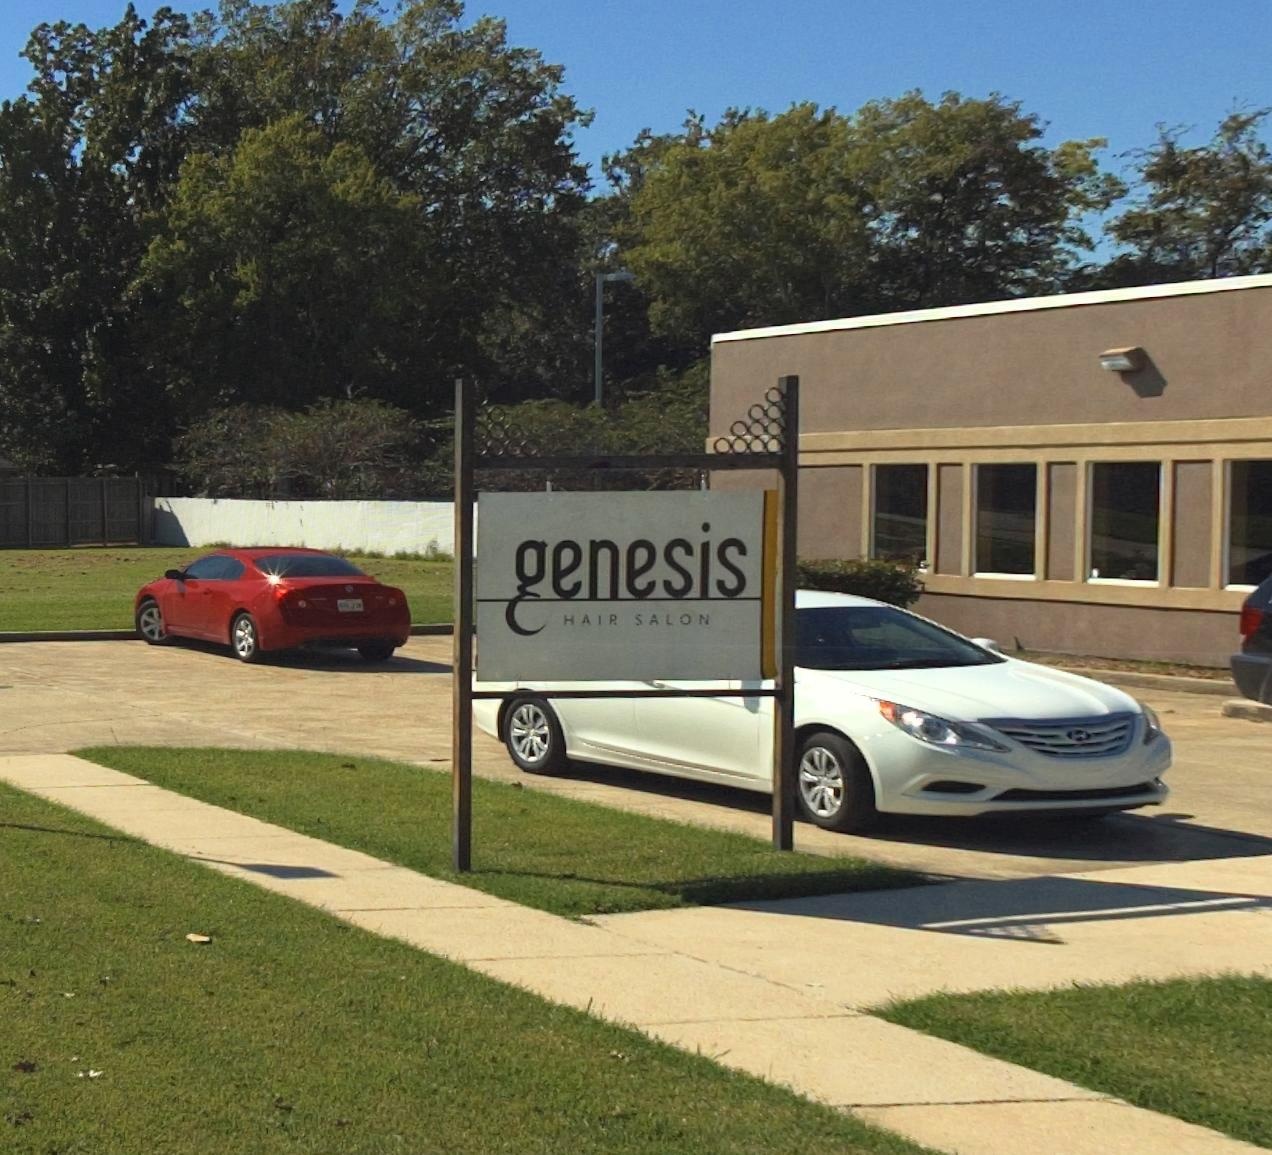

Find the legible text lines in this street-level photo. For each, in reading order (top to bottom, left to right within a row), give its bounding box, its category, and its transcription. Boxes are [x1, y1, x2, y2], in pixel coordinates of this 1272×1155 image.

[512, 516, 752, 599] BusinessName: *enesis 
[561, 611, 712, 628] BusinessName: HAIR SALON